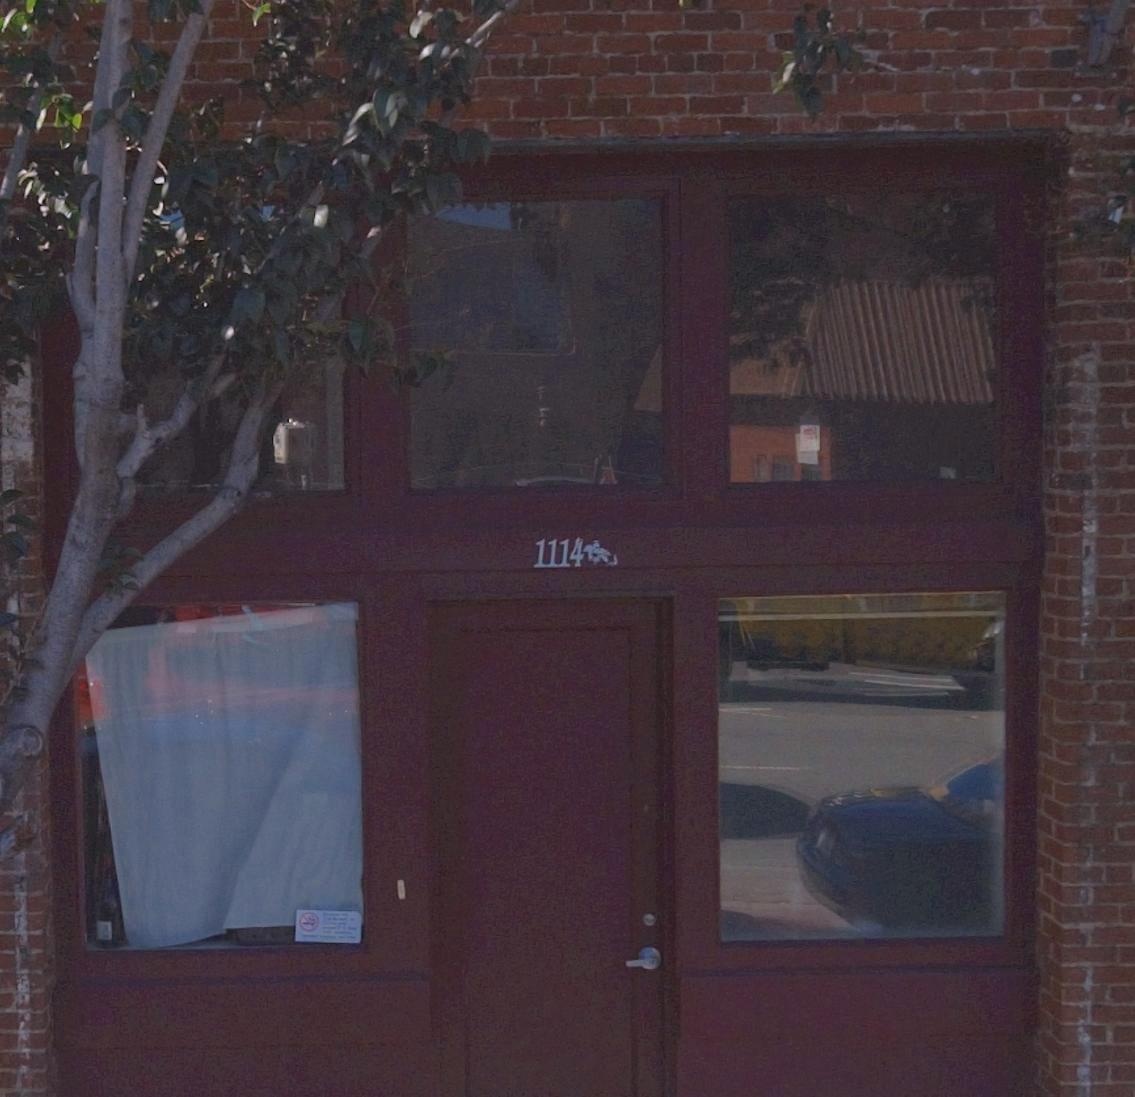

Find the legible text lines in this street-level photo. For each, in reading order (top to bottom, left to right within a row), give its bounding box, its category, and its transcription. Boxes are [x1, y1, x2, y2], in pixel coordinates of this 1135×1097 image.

[533, 537, 586, 569] StreetNumber: 1114